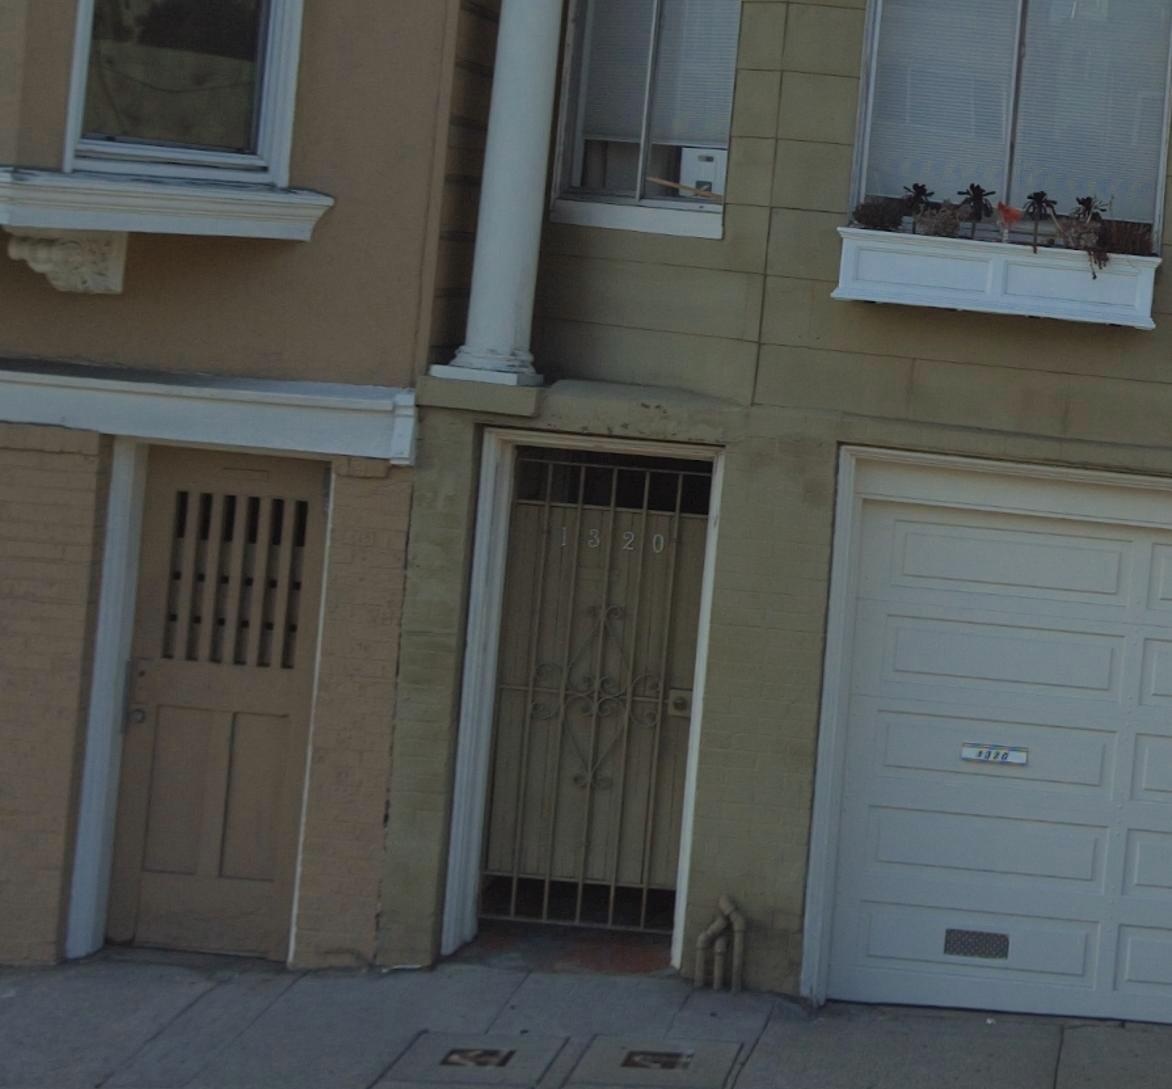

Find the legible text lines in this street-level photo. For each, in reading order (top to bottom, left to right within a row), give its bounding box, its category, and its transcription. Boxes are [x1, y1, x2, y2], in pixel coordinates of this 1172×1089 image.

[558, 522, 665, 555] StreetNumber: 1320
[973, 747, 1013, 763] StreetNumber: 1320